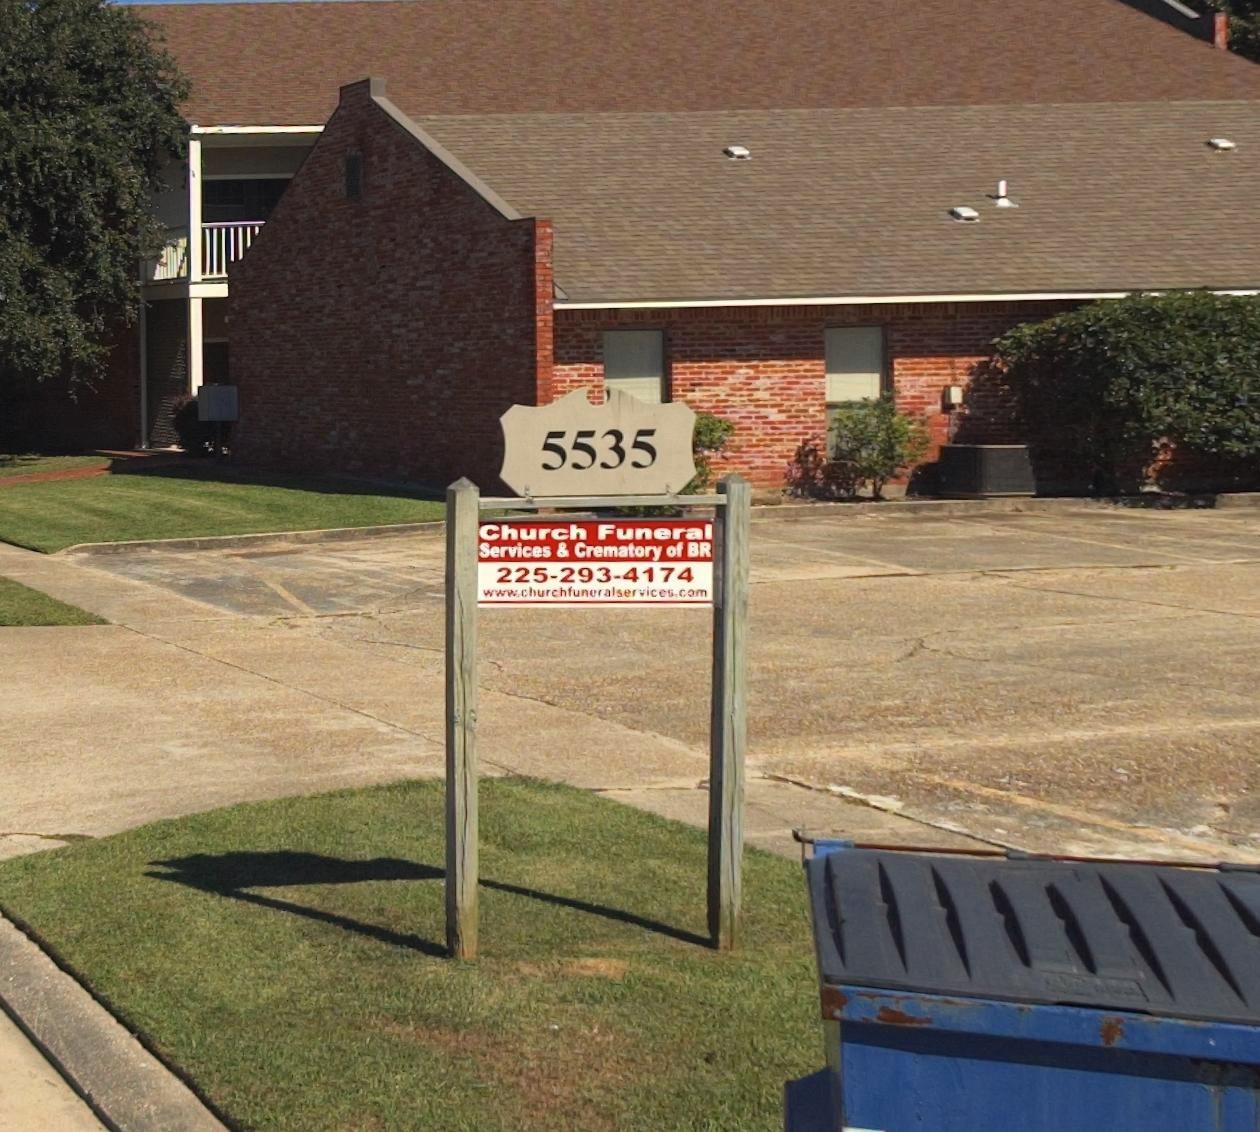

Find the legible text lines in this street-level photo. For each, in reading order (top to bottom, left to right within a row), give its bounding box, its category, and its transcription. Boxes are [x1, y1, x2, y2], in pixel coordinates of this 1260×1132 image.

[536, 426, 660, 474] StreetNumber: 5535
[476, 521, 715, 543] BusinessName: Church Funeral
[477, 540, 714, 564] None: Services & Crematory of BR
[494, 564, 697, 586] None: 225-293-4174
[480, 585, 710, 601] None: www.churchfuneralservices.com